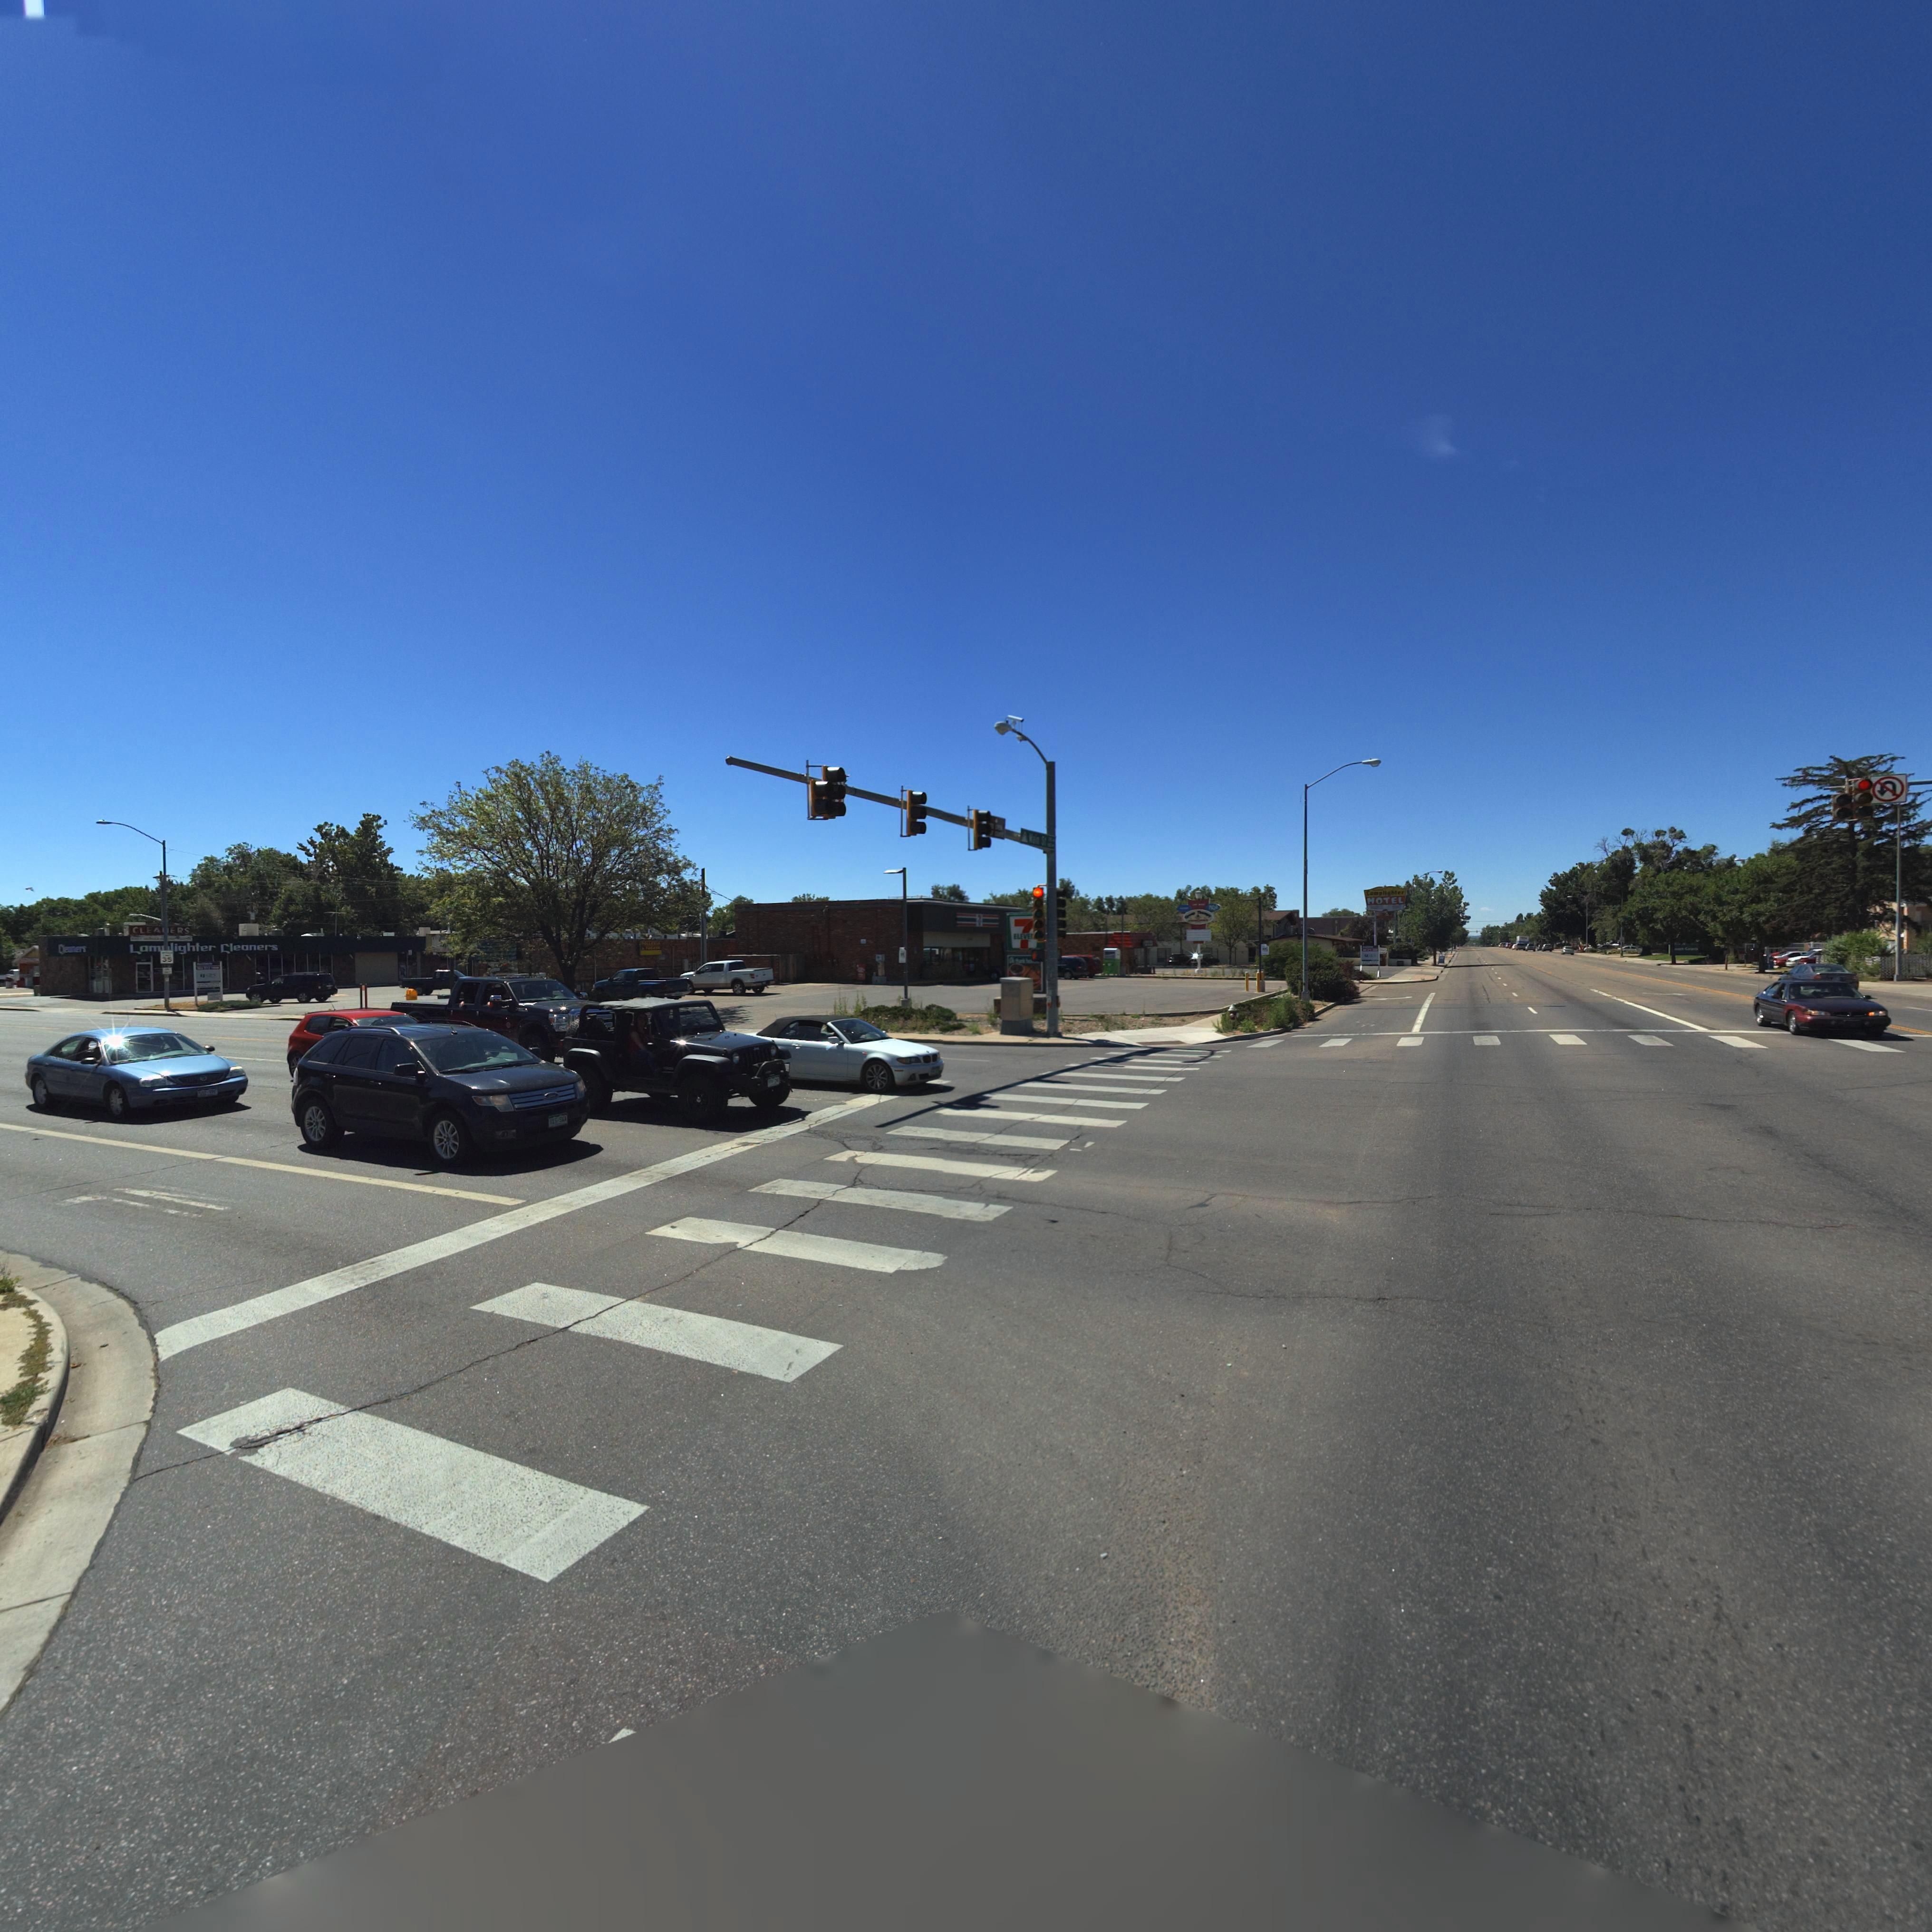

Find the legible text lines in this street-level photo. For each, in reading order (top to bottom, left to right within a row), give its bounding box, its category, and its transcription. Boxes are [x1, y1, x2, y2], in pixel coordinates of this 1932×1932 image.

[1028, 832, 1047, 846] BusinessName: M*** St
[1365, 889, 1404, 897] BusinessName: L*mplighter
[1366, 897, 1404, 905] BusinessName: MOTEL
[1184, 910, 1212, 918] BusinessName: ***** T******
[977, 914, 982, 927] BusinessName: 7
[1013, 933, 1034, 939] BusinessName: ELEVE
[1013, 918, 1038, 949] BusinessName: 7
[641, 941, 661, 945] BusinessName: *O******
[58, 944, 87, 955] BusinessName: C*****rs
[128, 942, 279, 954] BusinessName: Lamplighter Cleaners
[645, 946, 661, 950] BusinessName: FOGO***